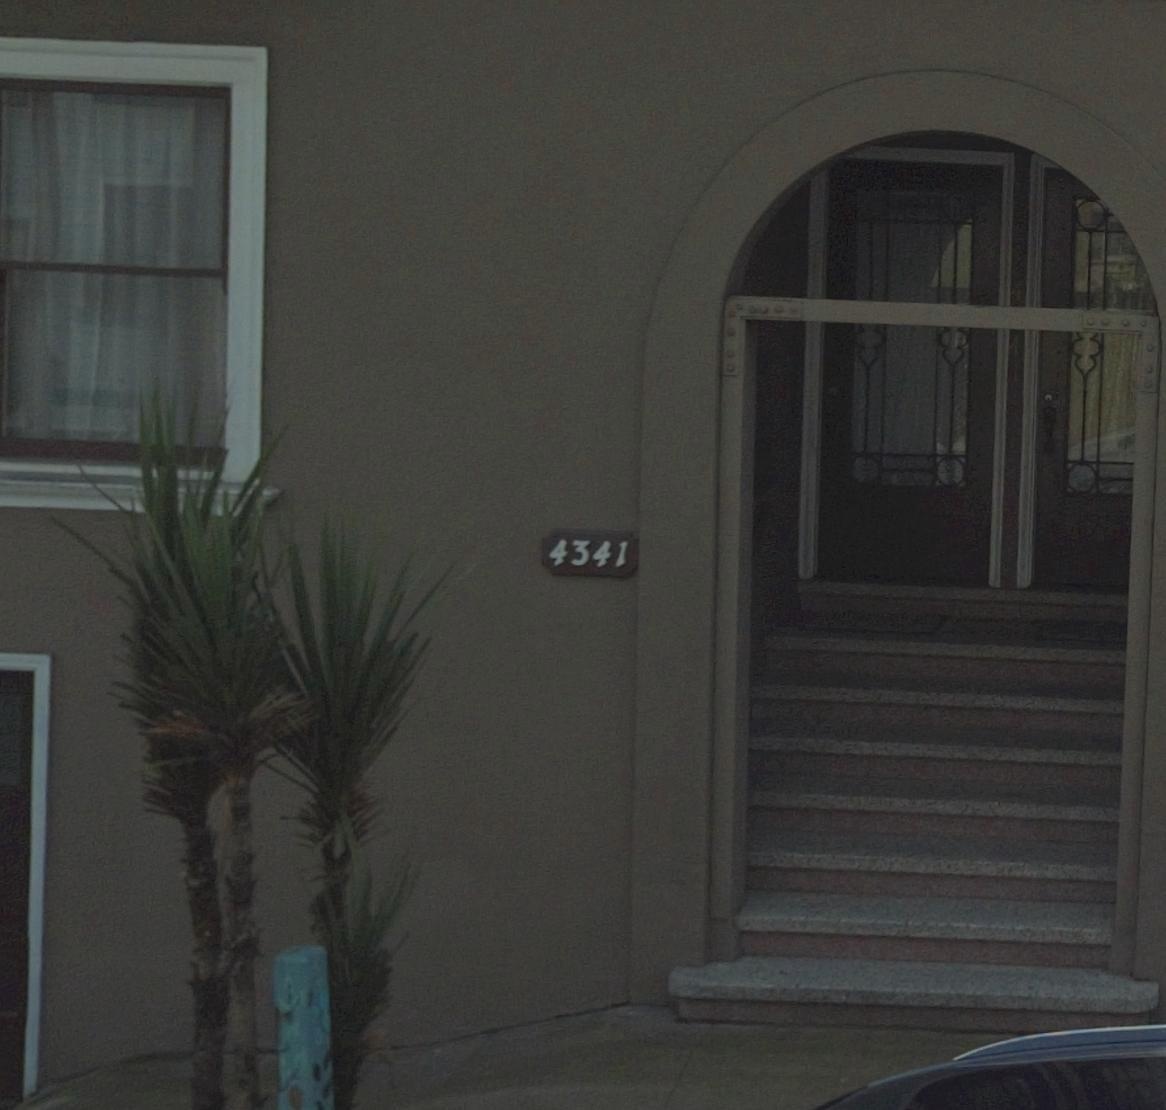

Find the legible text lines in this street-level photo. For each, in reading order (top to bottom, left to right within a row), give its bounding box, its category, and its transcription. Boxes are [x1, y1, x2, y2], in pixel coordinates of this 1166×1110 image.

[546, 535, 633, 570] StreetNumber: 4341